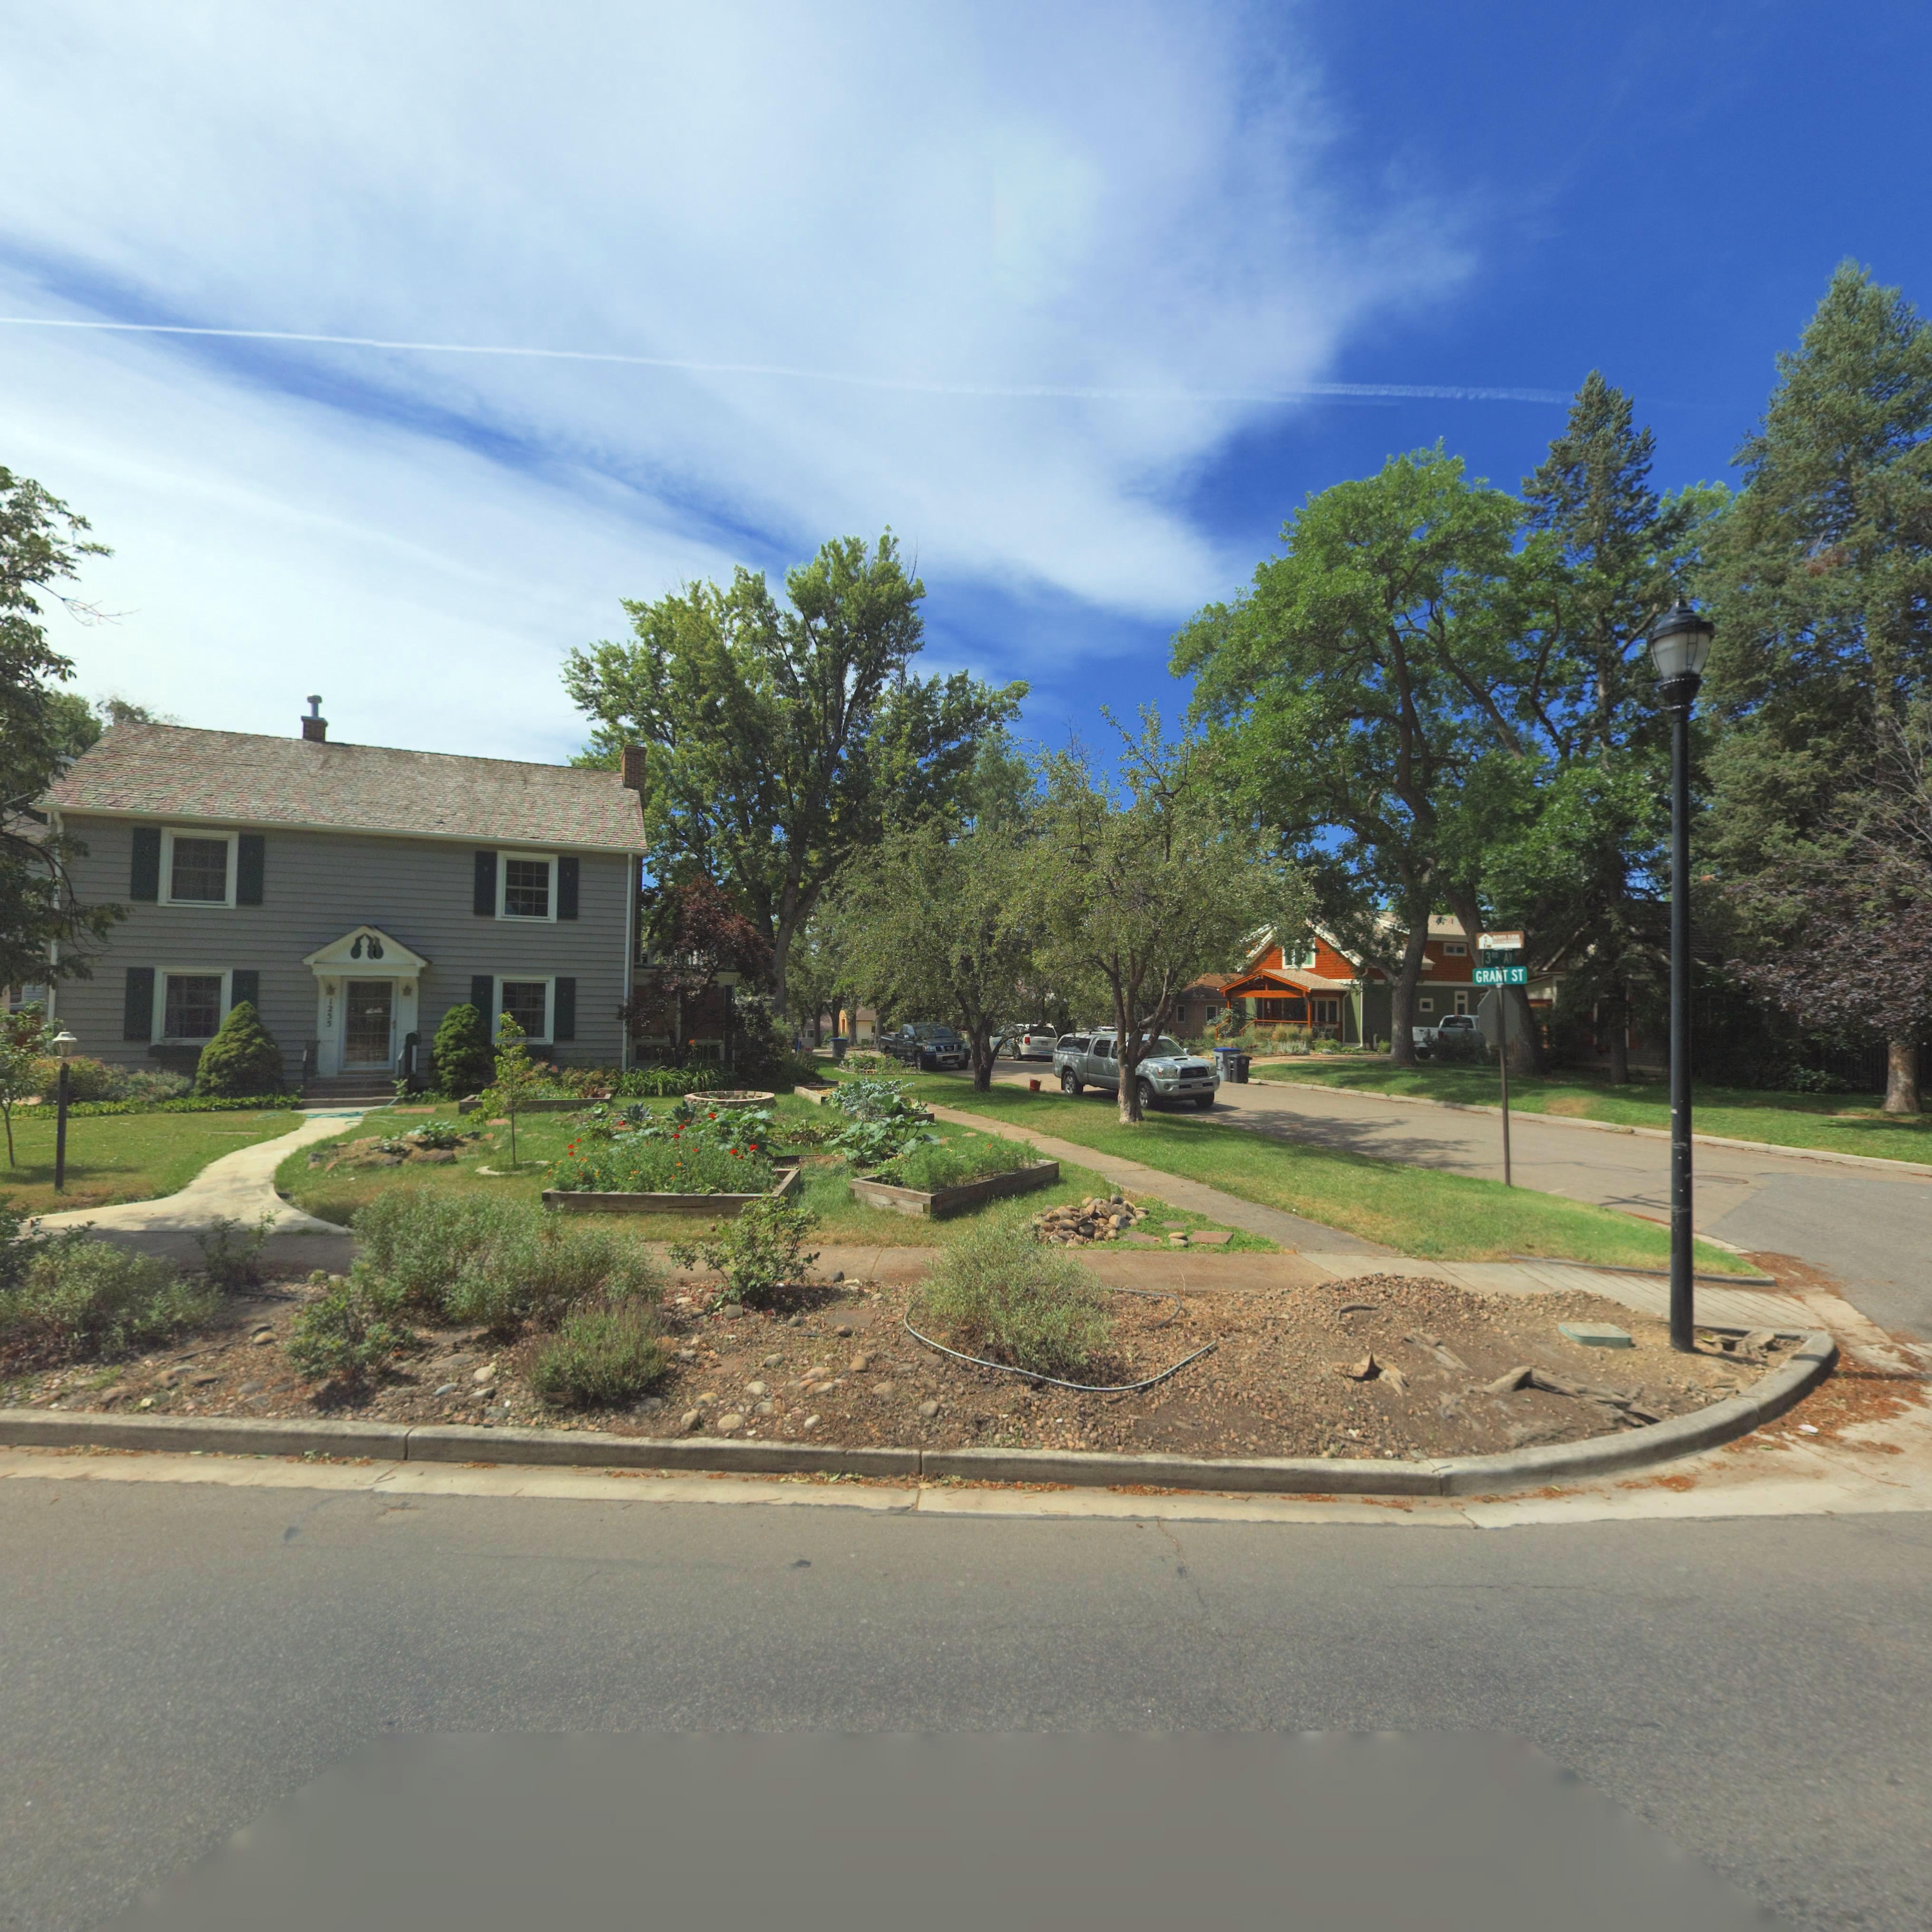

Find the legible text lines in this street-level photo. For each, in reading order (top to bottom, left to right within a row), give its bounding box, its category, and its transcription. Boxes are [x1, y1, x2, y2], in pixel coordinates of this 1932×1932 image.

[1485, 952, 1513, 964] StreetName: 3*D AV
[1475, 969, 1524, 982] StreetName: GRANT ST
[326, 997, 332, 1026] StreetNumber: 1255